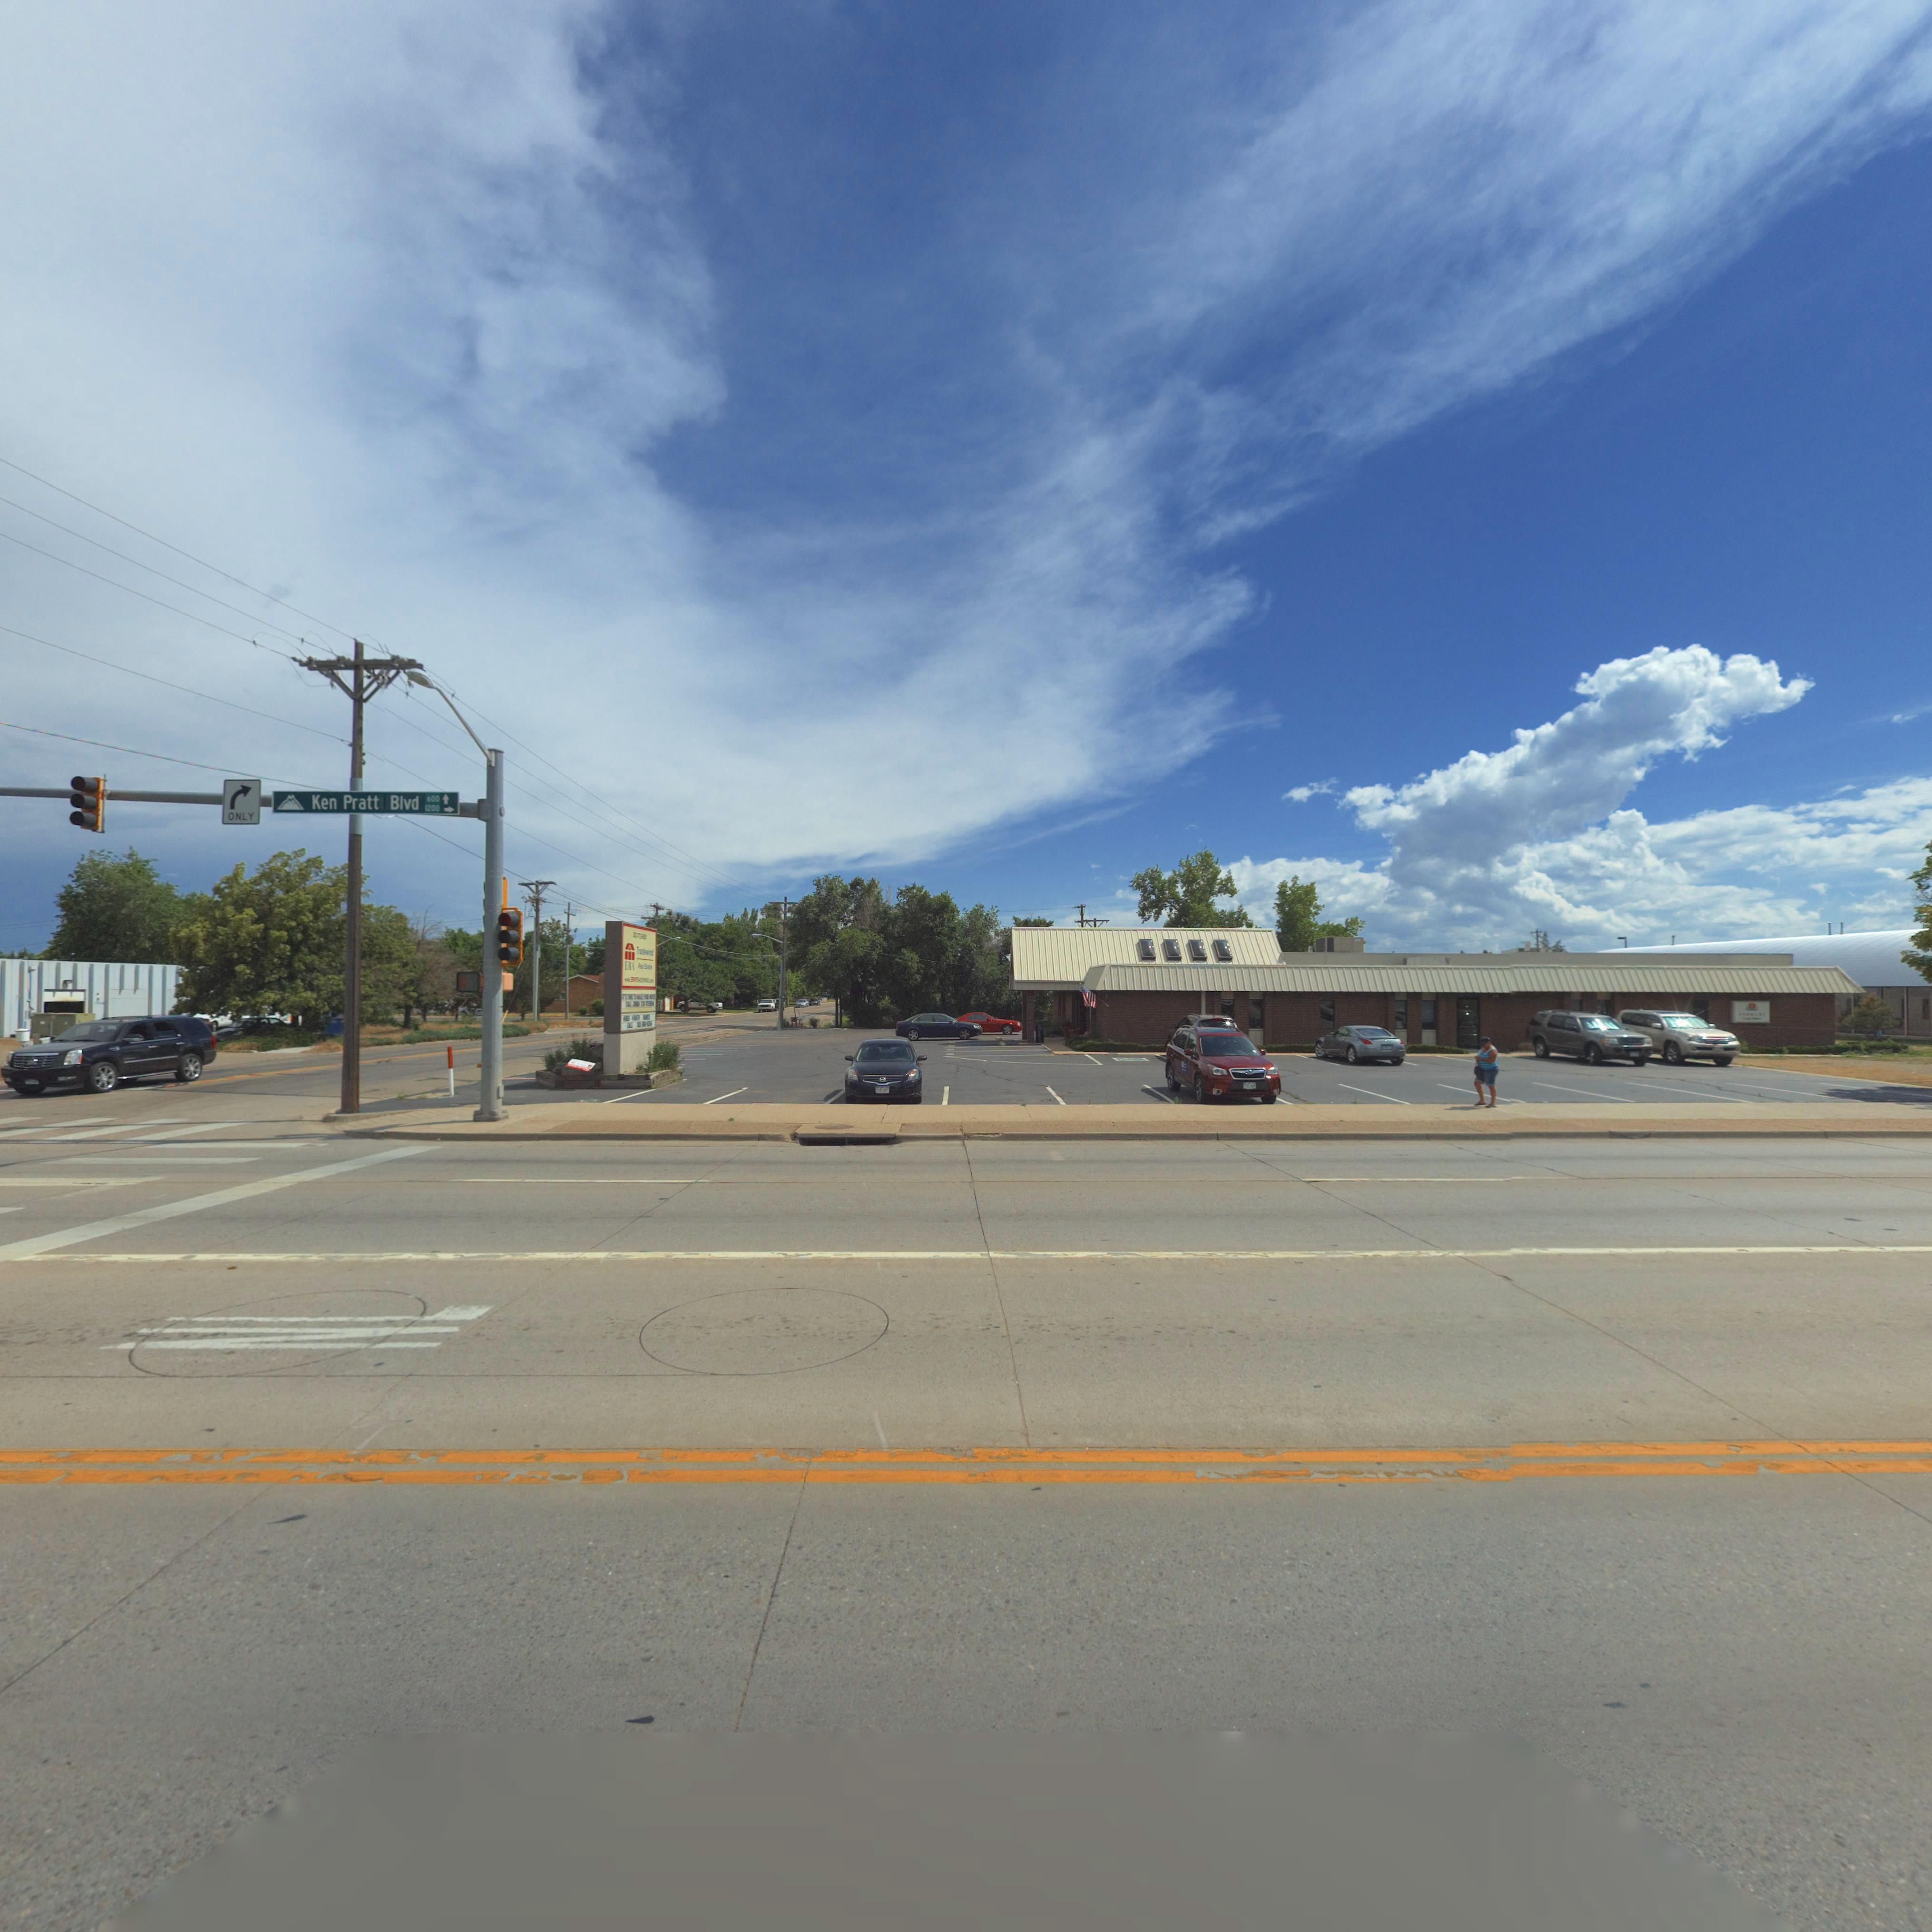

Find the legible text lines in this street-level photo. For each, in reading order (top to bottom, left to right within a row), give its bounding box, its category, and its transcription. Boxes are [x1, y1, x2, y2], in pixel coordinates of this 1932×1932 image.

[311, 793, 419, 811] StreetName: Ken Pratt Blvd
[426, 794, 440, 802] StreetNumberRange: 600
[424, 804, 454, 813] StreetNumberRange: 1200 ->
[636, 946, 654, 956] BusinessName: Tradewind
[624, 960, 635, 970] BusinessName: ERA
[638, 962, 653, 970] BusinessName: R*** E******
[1739, 1012, 1766, 1016] BusinessName: F*R**R*